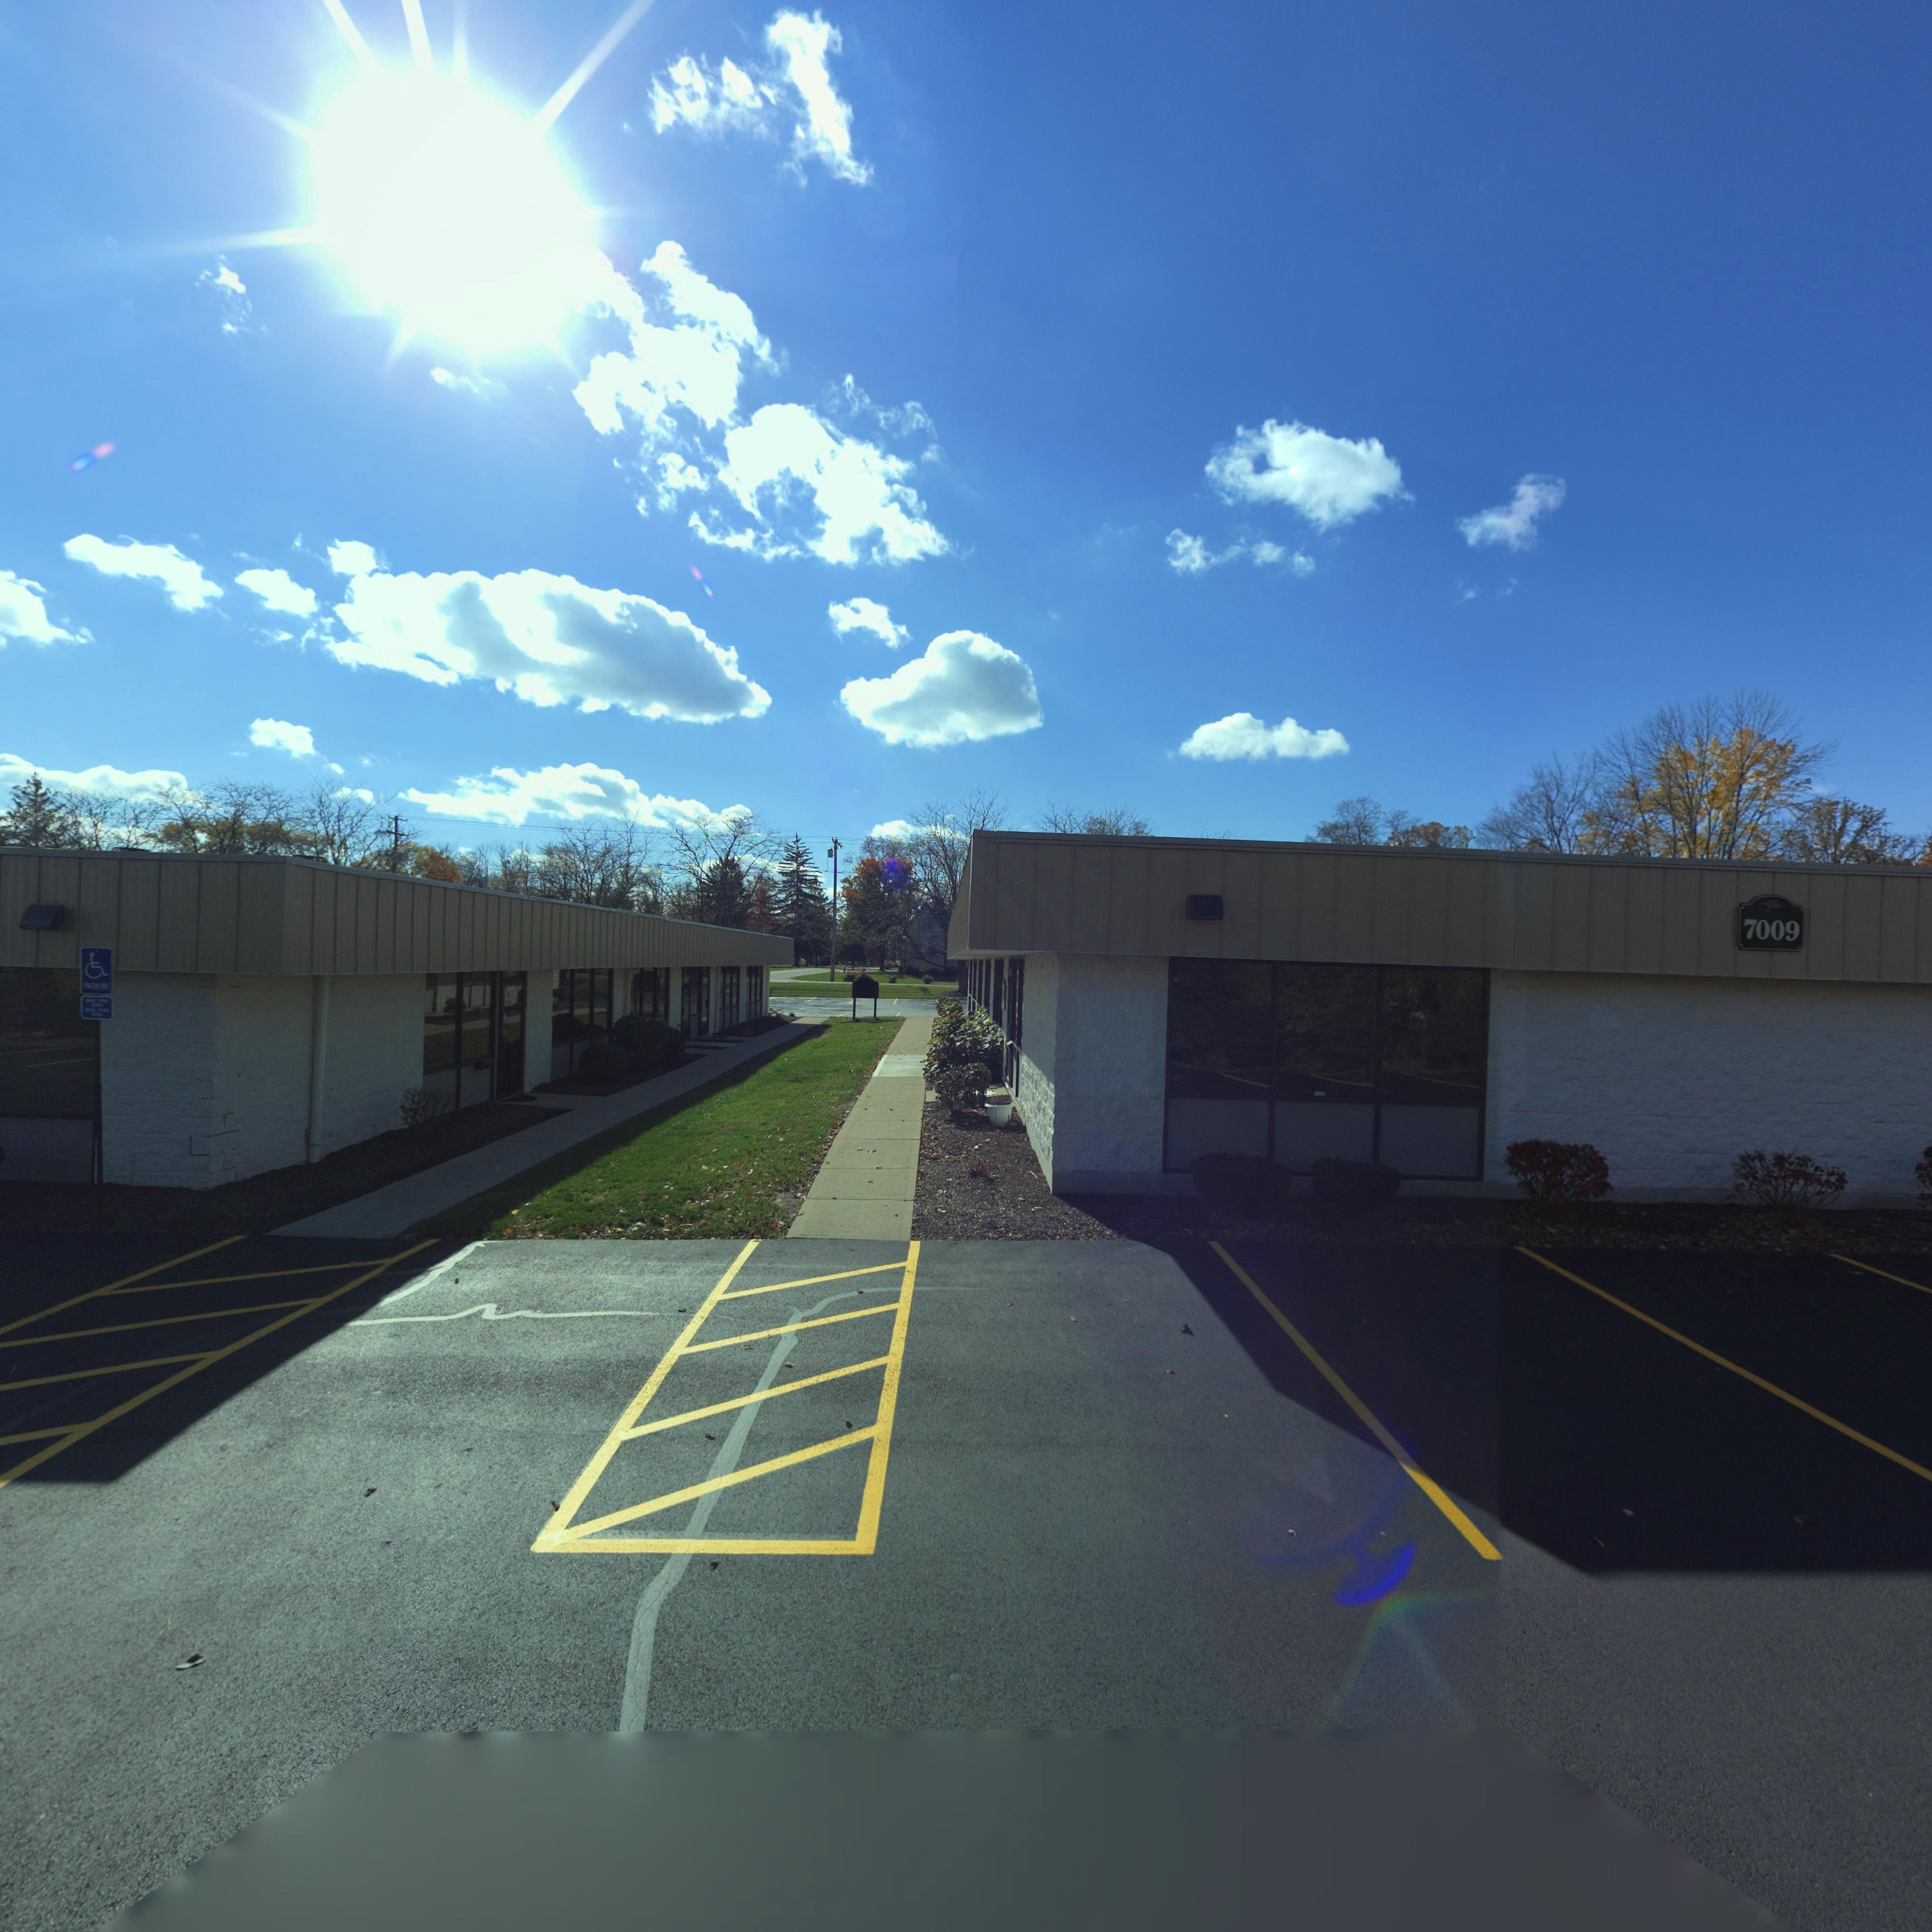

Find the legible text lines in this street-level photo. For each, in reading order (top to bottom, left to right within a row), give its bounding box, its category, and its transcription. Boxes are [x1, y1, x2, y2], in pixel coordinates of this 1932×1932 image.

[1742, 918, 1801, 943] StreetNumber: 7009